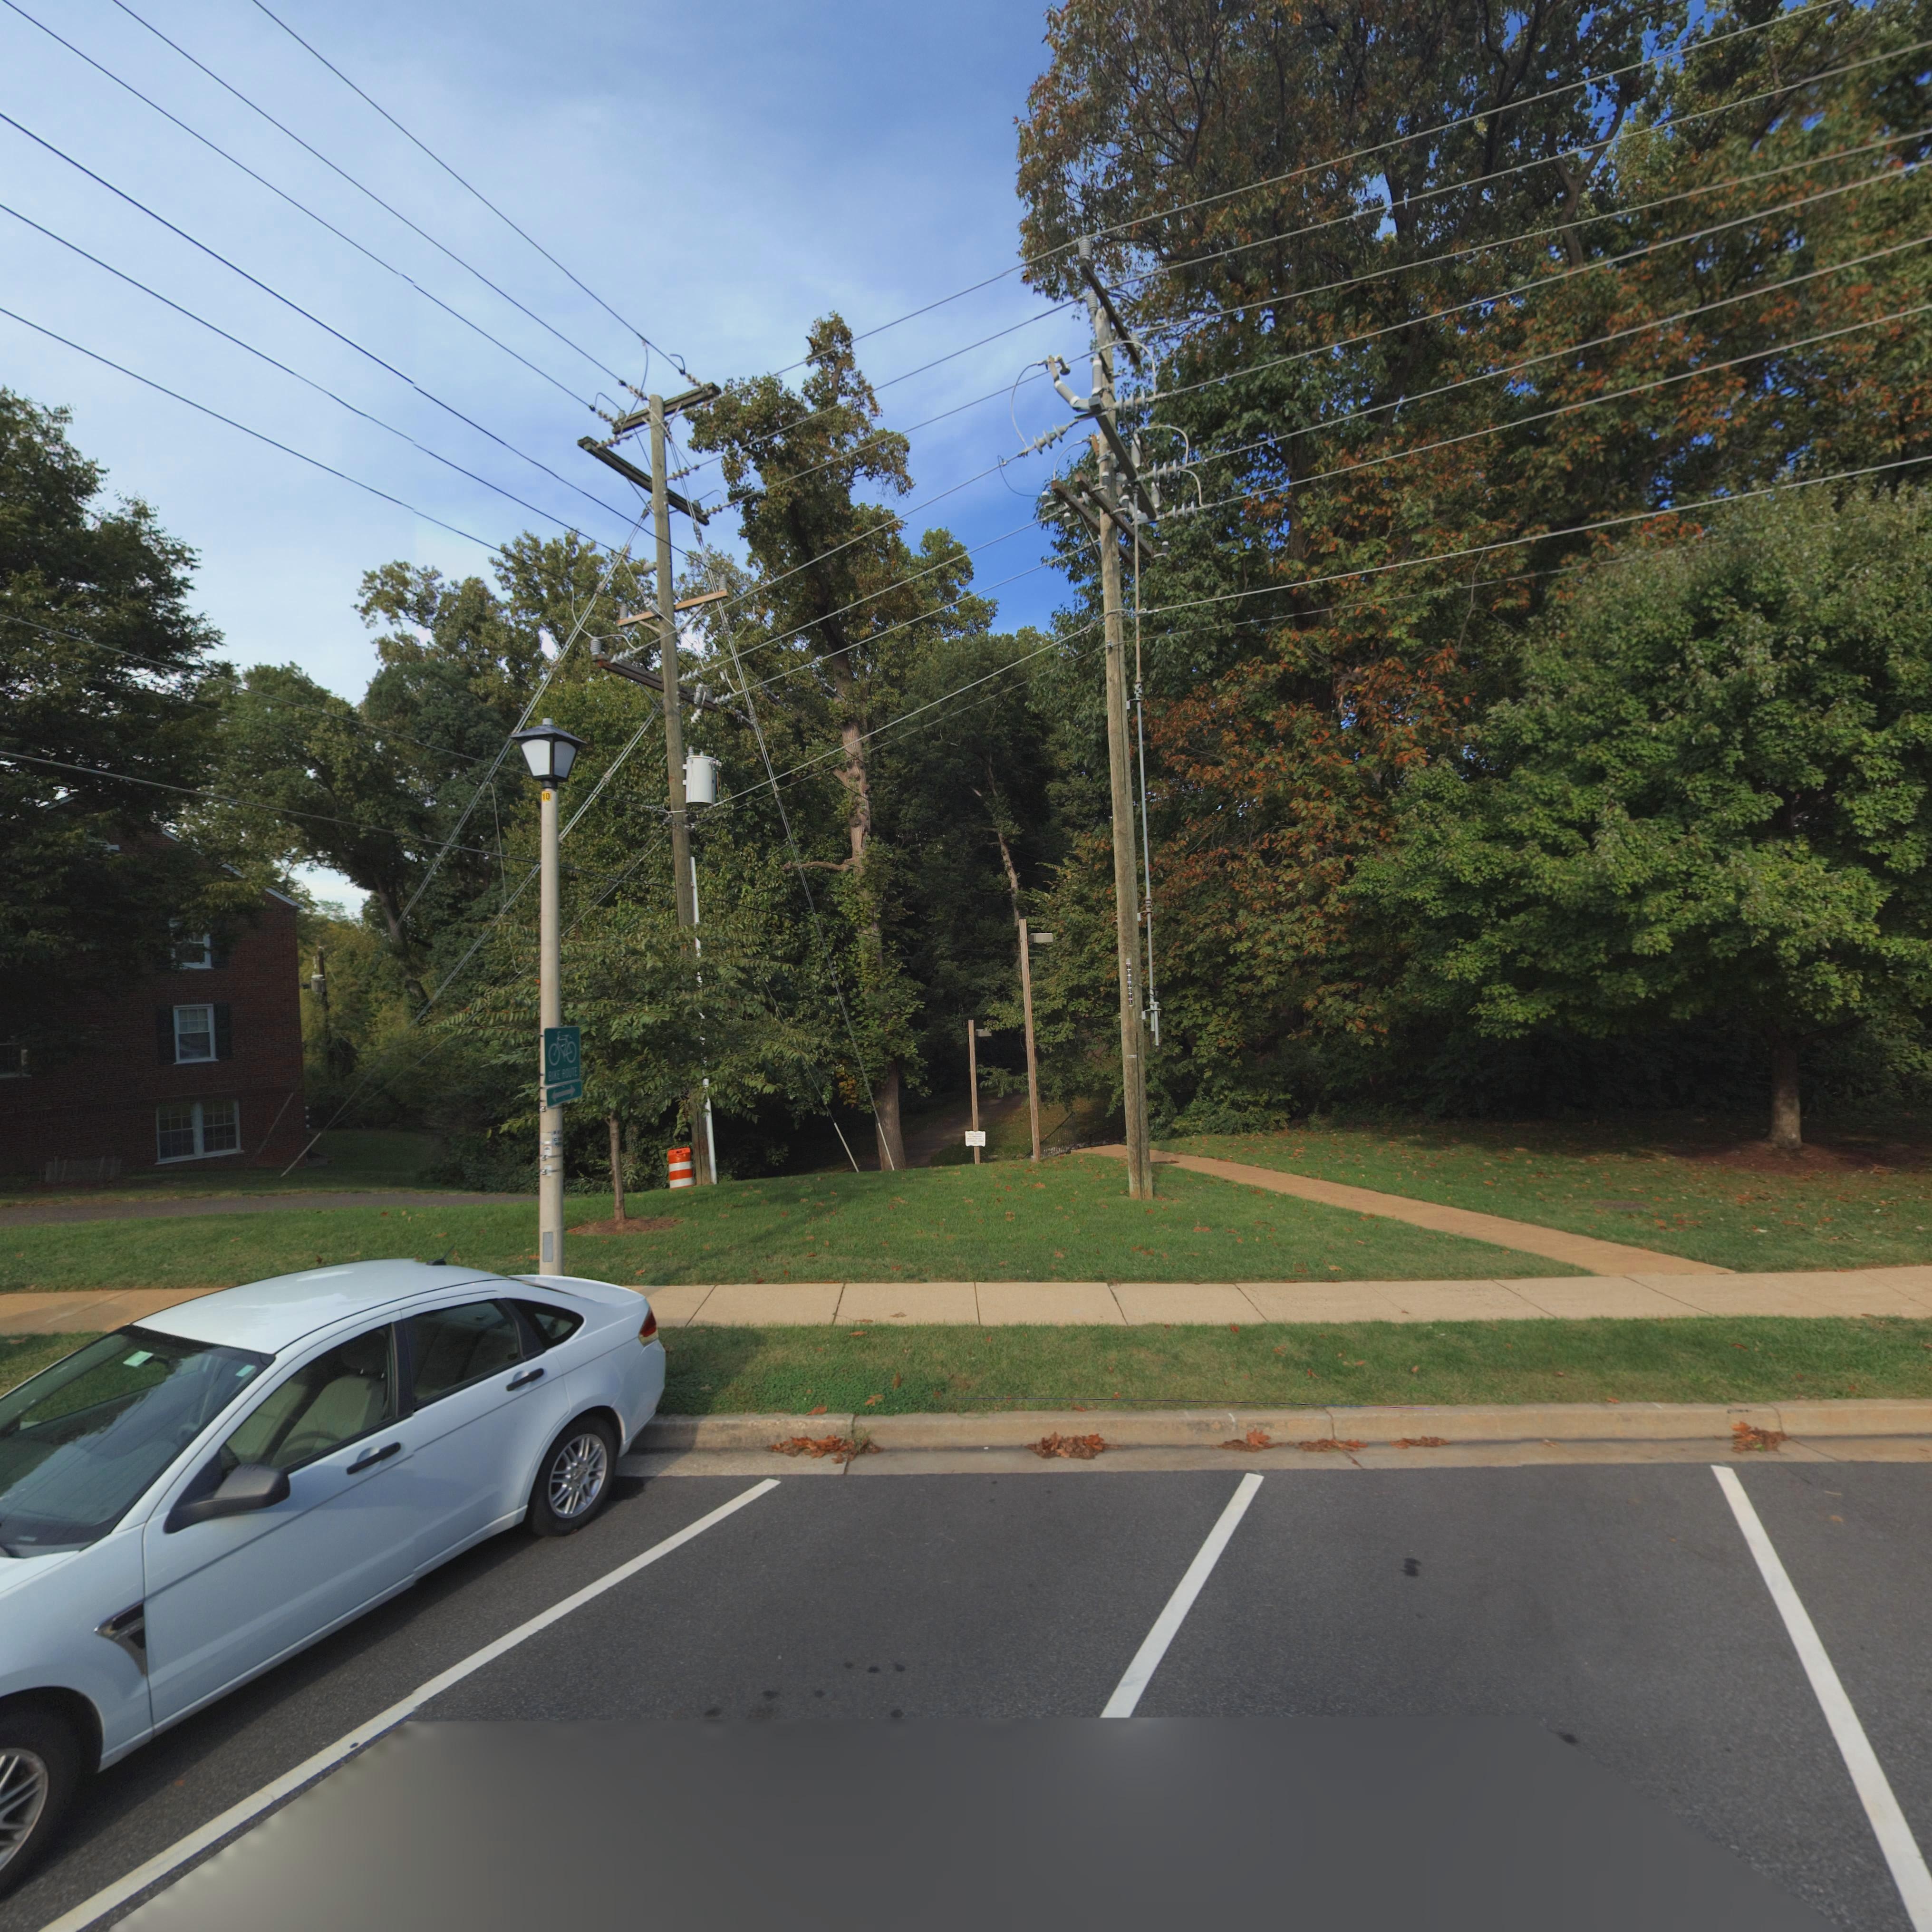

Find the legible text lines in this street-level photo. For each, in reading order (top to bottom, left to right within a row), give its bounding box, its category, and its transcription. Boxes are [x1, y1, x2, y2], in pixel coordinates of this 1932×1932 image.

[547, 1064, 580, 1084] None: B**E ROUTE